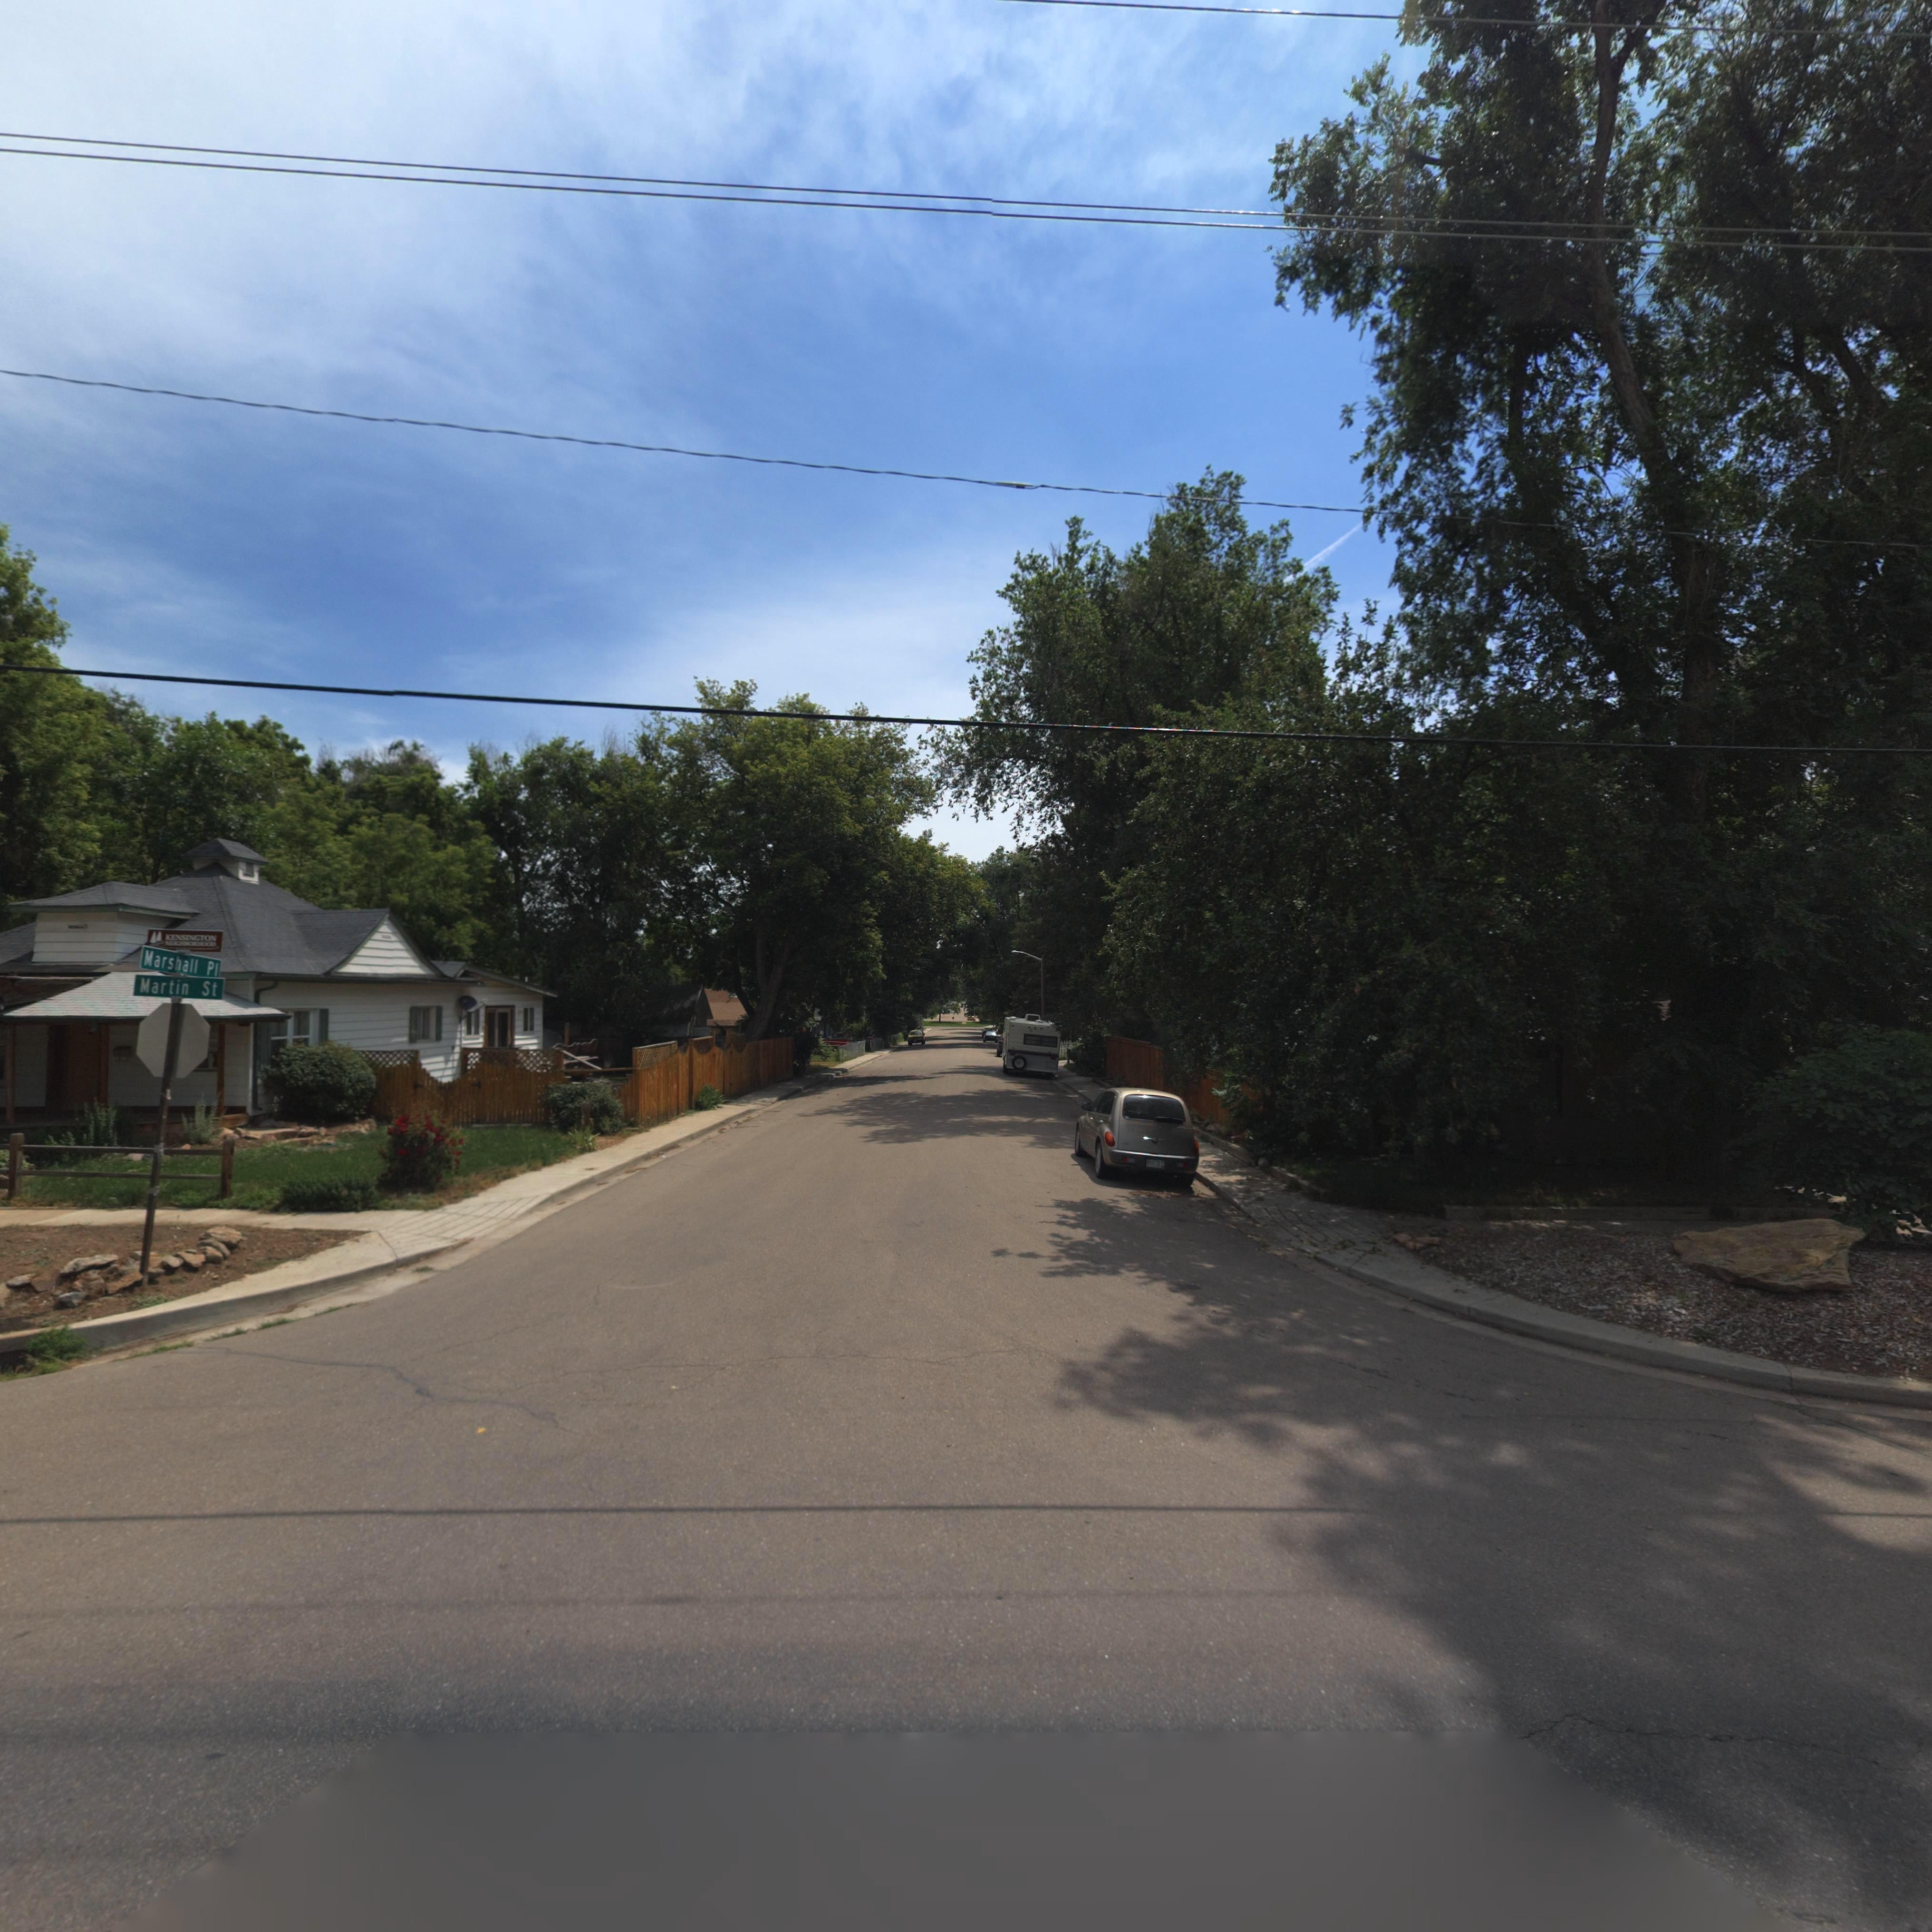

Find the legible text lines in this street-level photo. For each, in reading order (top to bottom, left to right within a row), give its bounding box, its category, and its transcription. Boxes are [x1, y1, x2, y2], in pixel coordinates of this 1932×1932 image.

[143, 949, 219, 976] StreetName: Marshall Pl
[139, 977, 217, 996] StreetName: Martin st